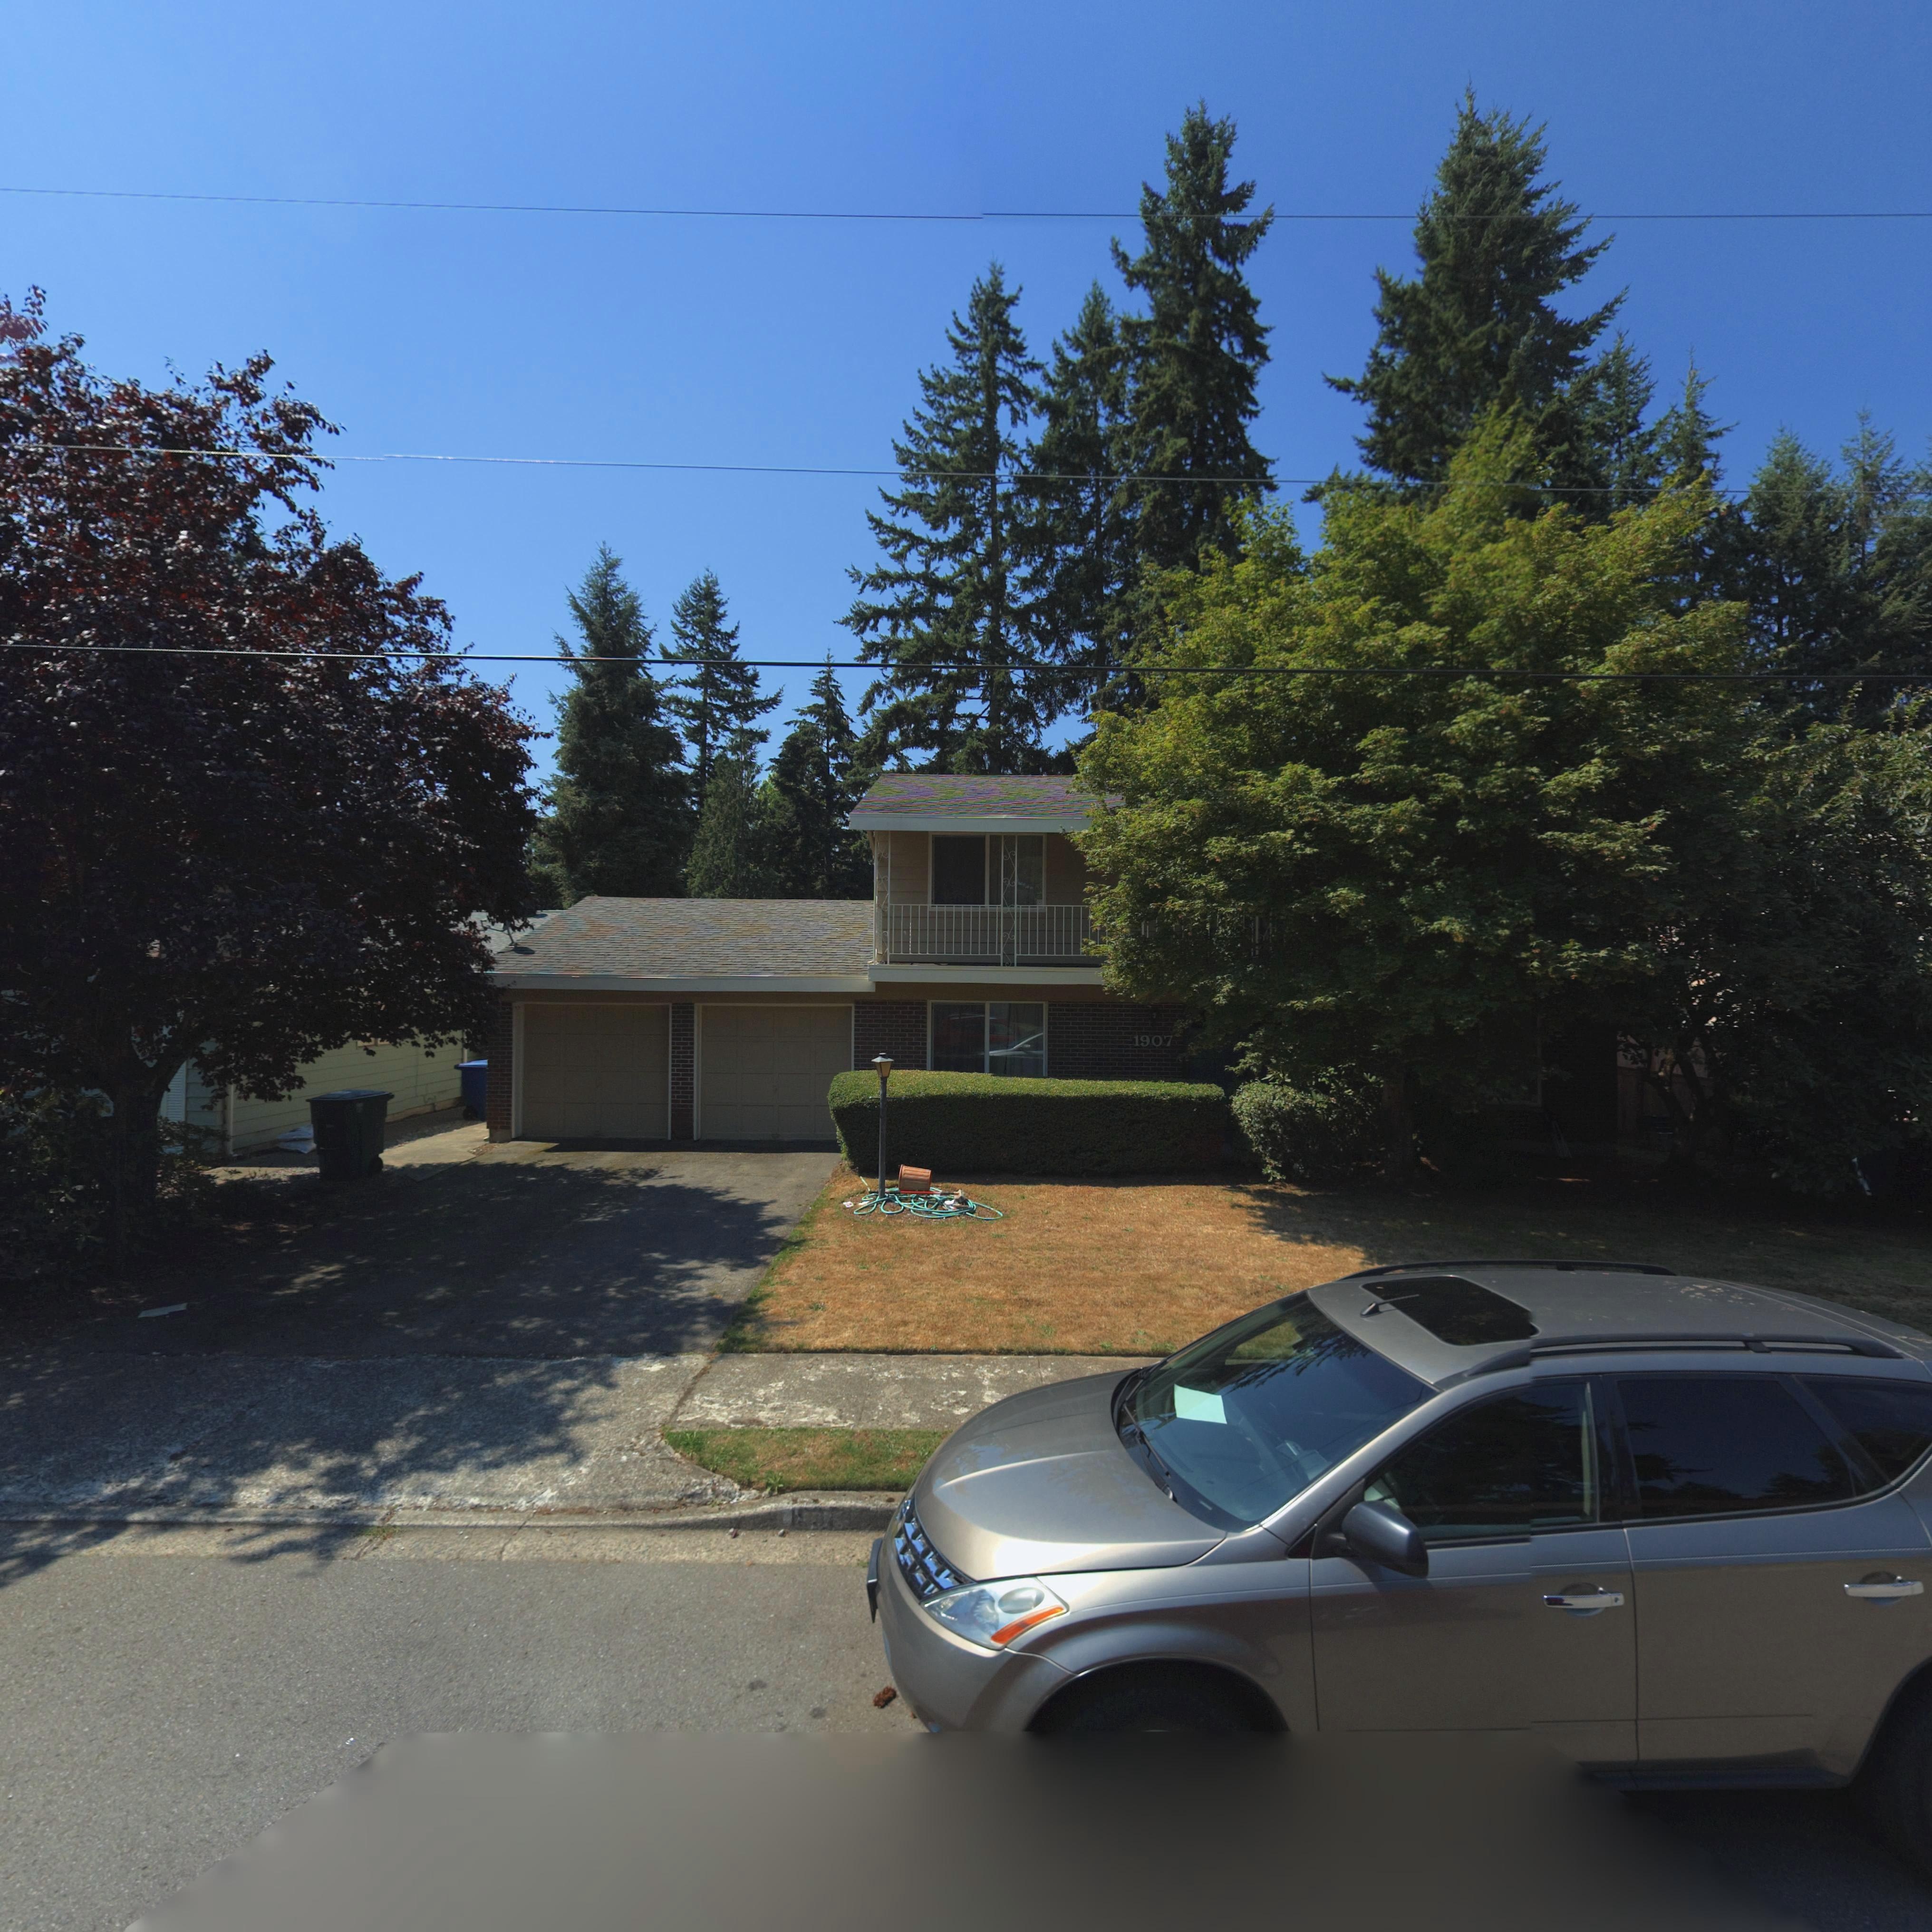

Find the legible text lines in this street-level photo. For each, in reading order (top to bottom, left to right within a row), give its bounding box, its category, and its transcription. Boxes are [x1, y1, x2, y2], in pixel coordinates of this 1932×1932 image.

[1133, 1034, 1174, 1047] StreetNumber: 1907